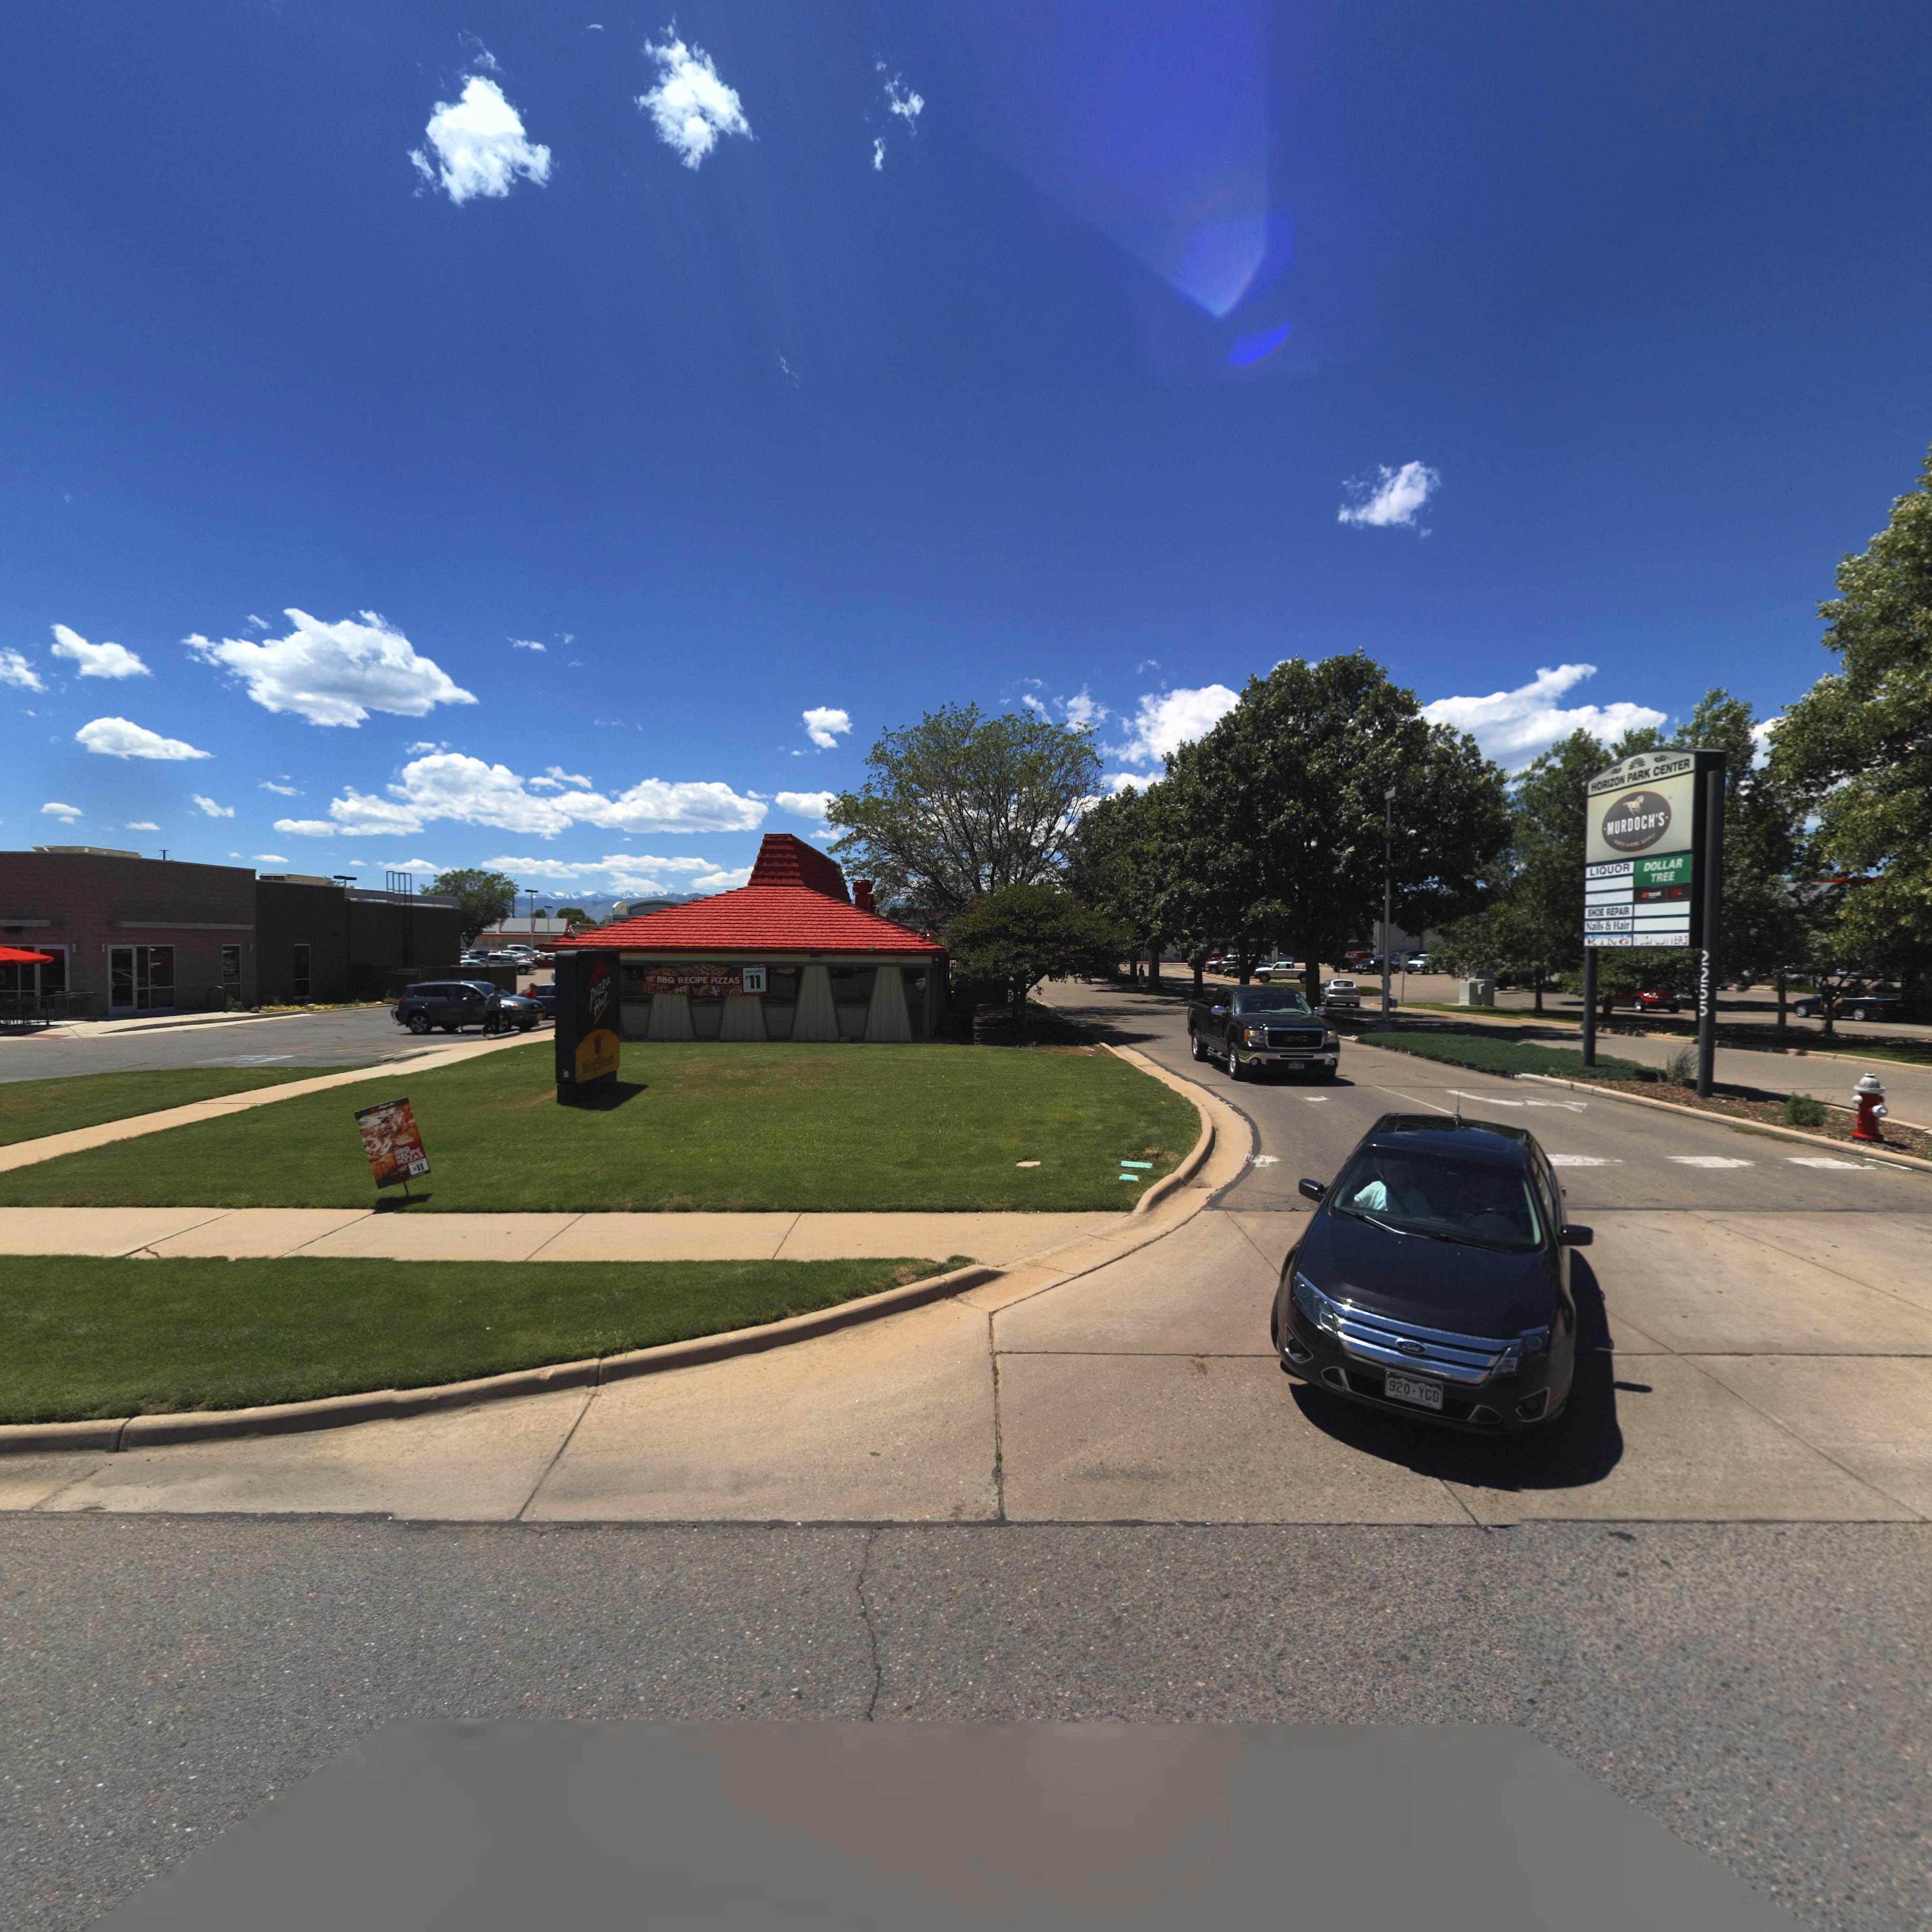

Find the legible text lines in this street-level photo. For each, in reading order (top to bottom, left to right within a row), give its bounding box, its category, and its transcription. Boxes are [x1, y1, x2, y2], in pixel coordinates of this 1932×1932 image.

[1606, 811, 1665, 835] BusinessName: MURDOCH'S
[1642, 858, 1683, 872] BusinessName: DOLLAR
[1650, 871, 1675, 882] BusinessName: TREE
[1587, 937, 1629, 945] BusinessName: KING
[589, 976, 610, 1013] BusinessName: pizza
[594, 990, 608, 1017] BusinessName: Hut
[1699, 949, 1710, 1016] StreetNumber: 2255
[581, 1052, 614, 1075] BusinessName: WingStreet